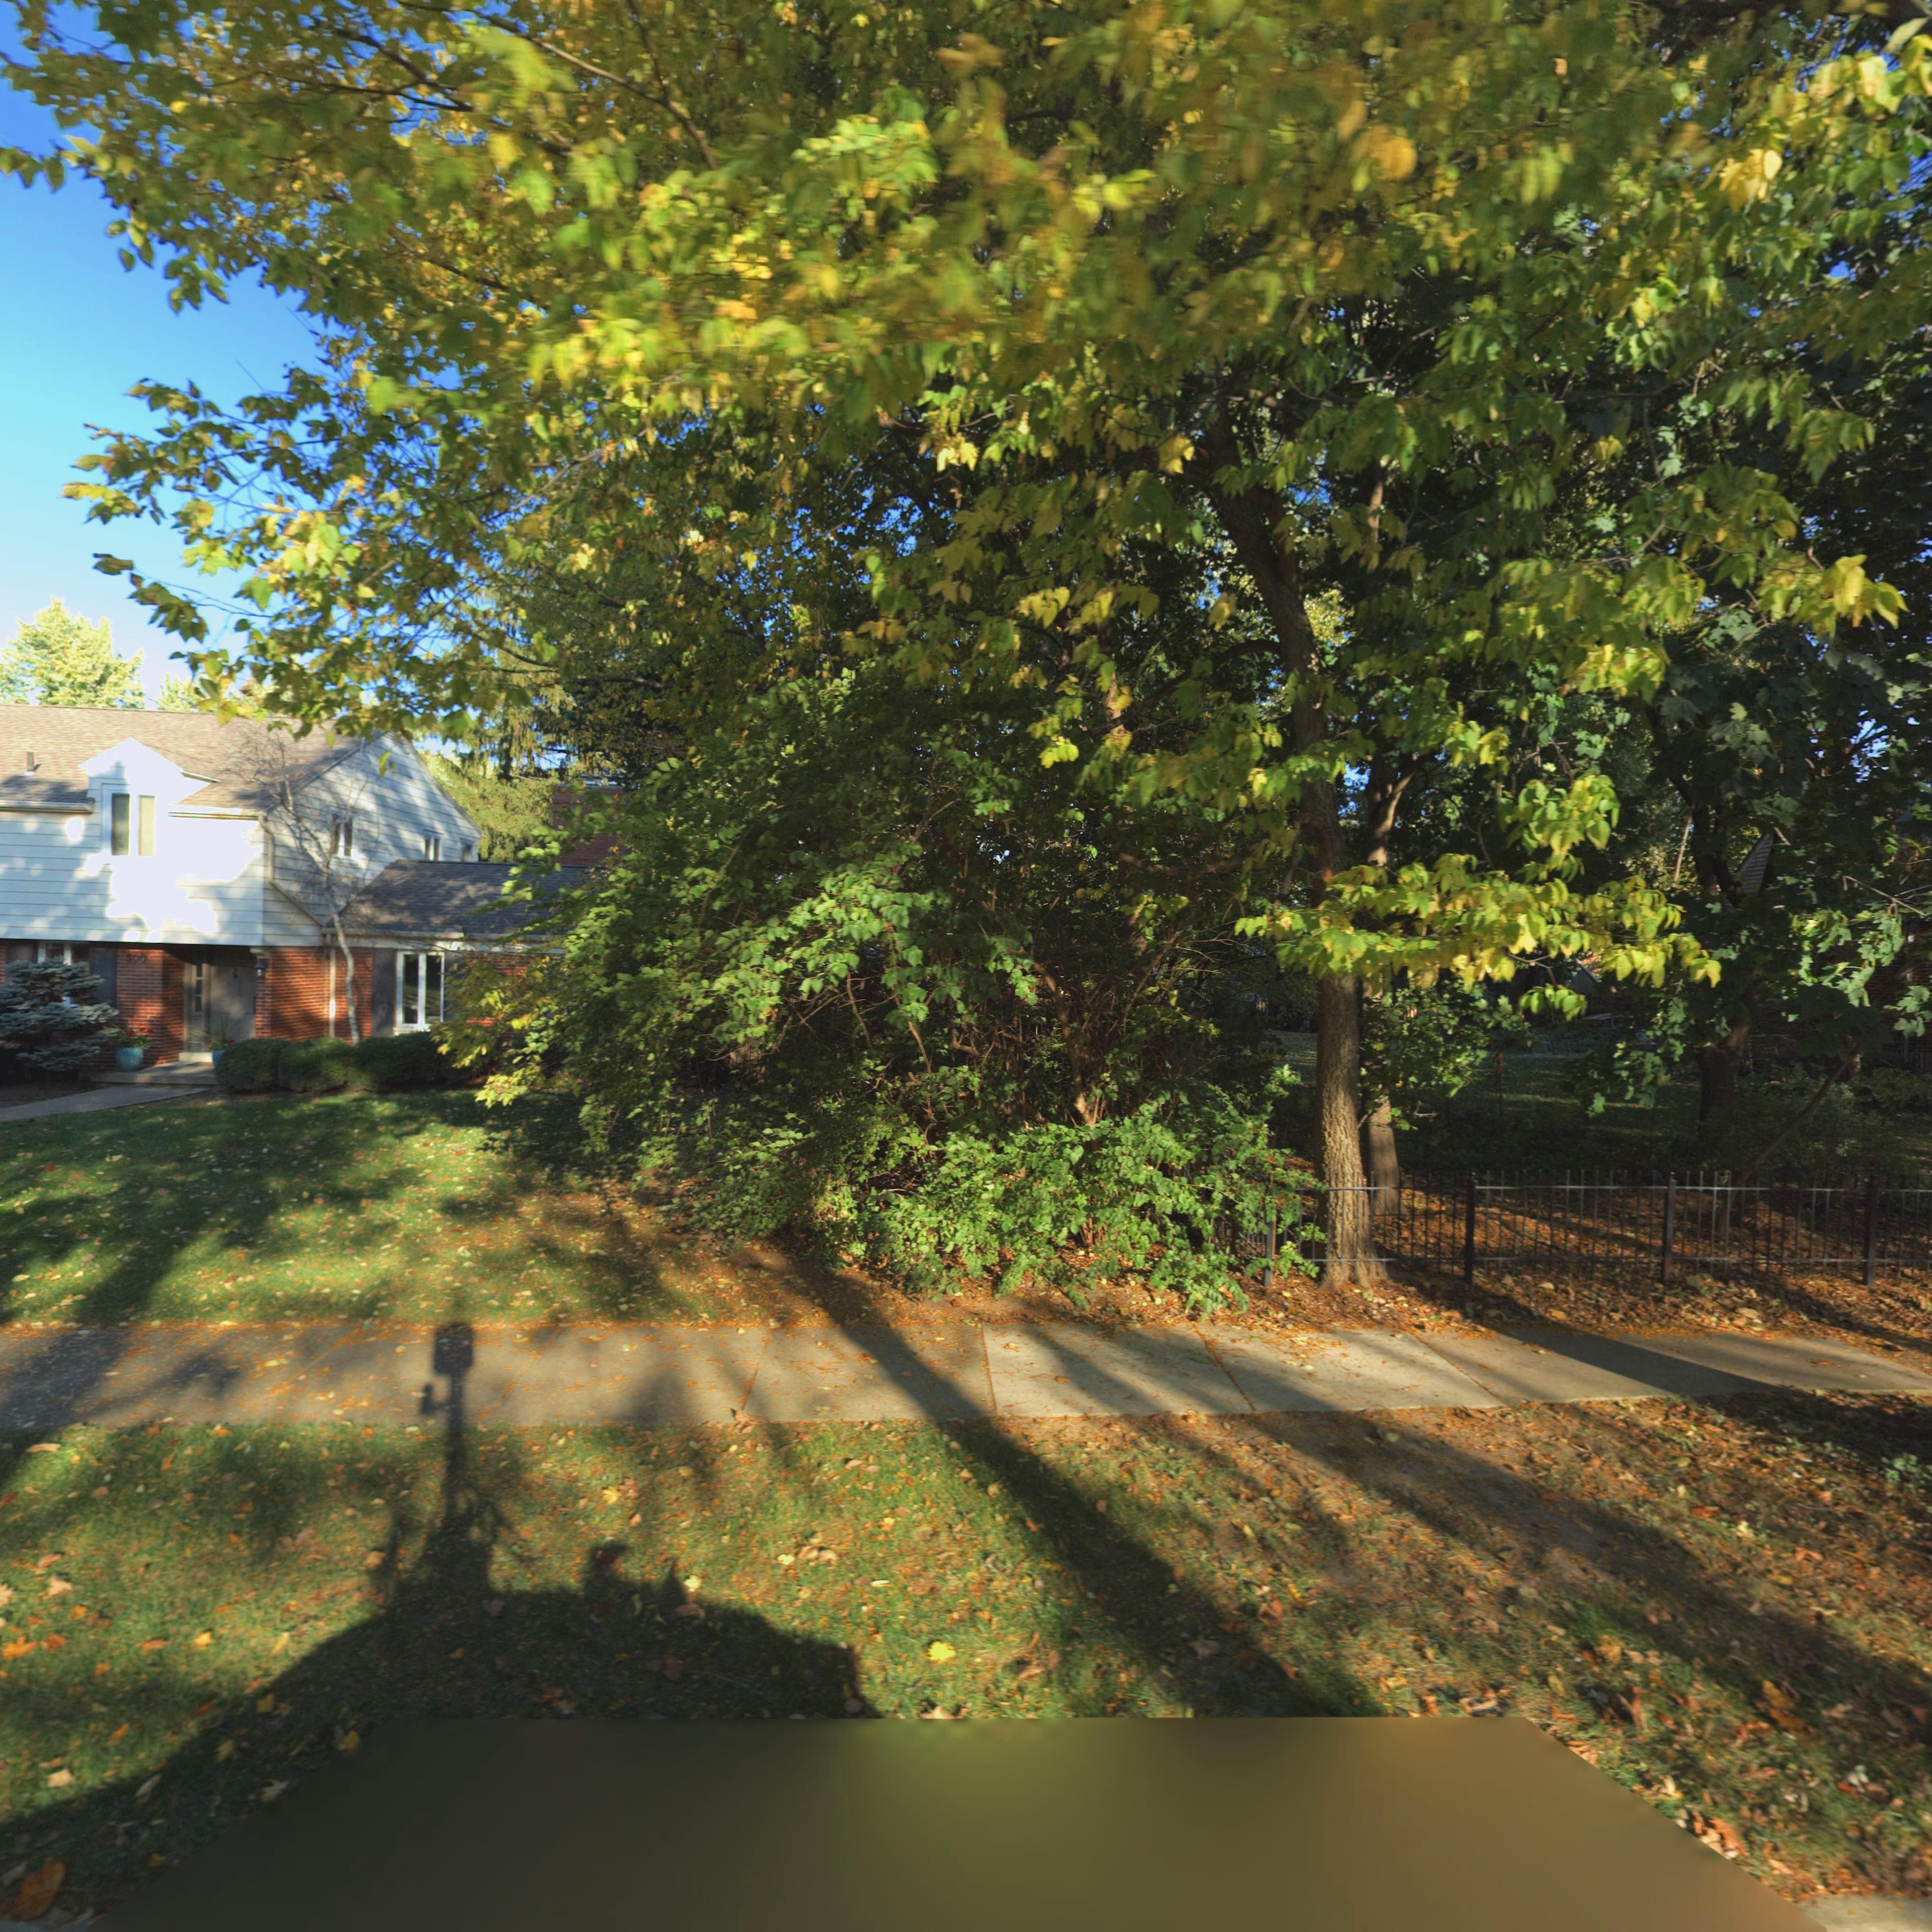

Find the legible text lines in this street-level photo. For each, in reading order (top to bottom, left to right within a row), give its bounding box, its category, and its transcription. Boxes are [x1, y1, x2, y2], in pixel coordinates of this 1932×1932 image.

[125, 953, 147, 964] StreetNumber: 500